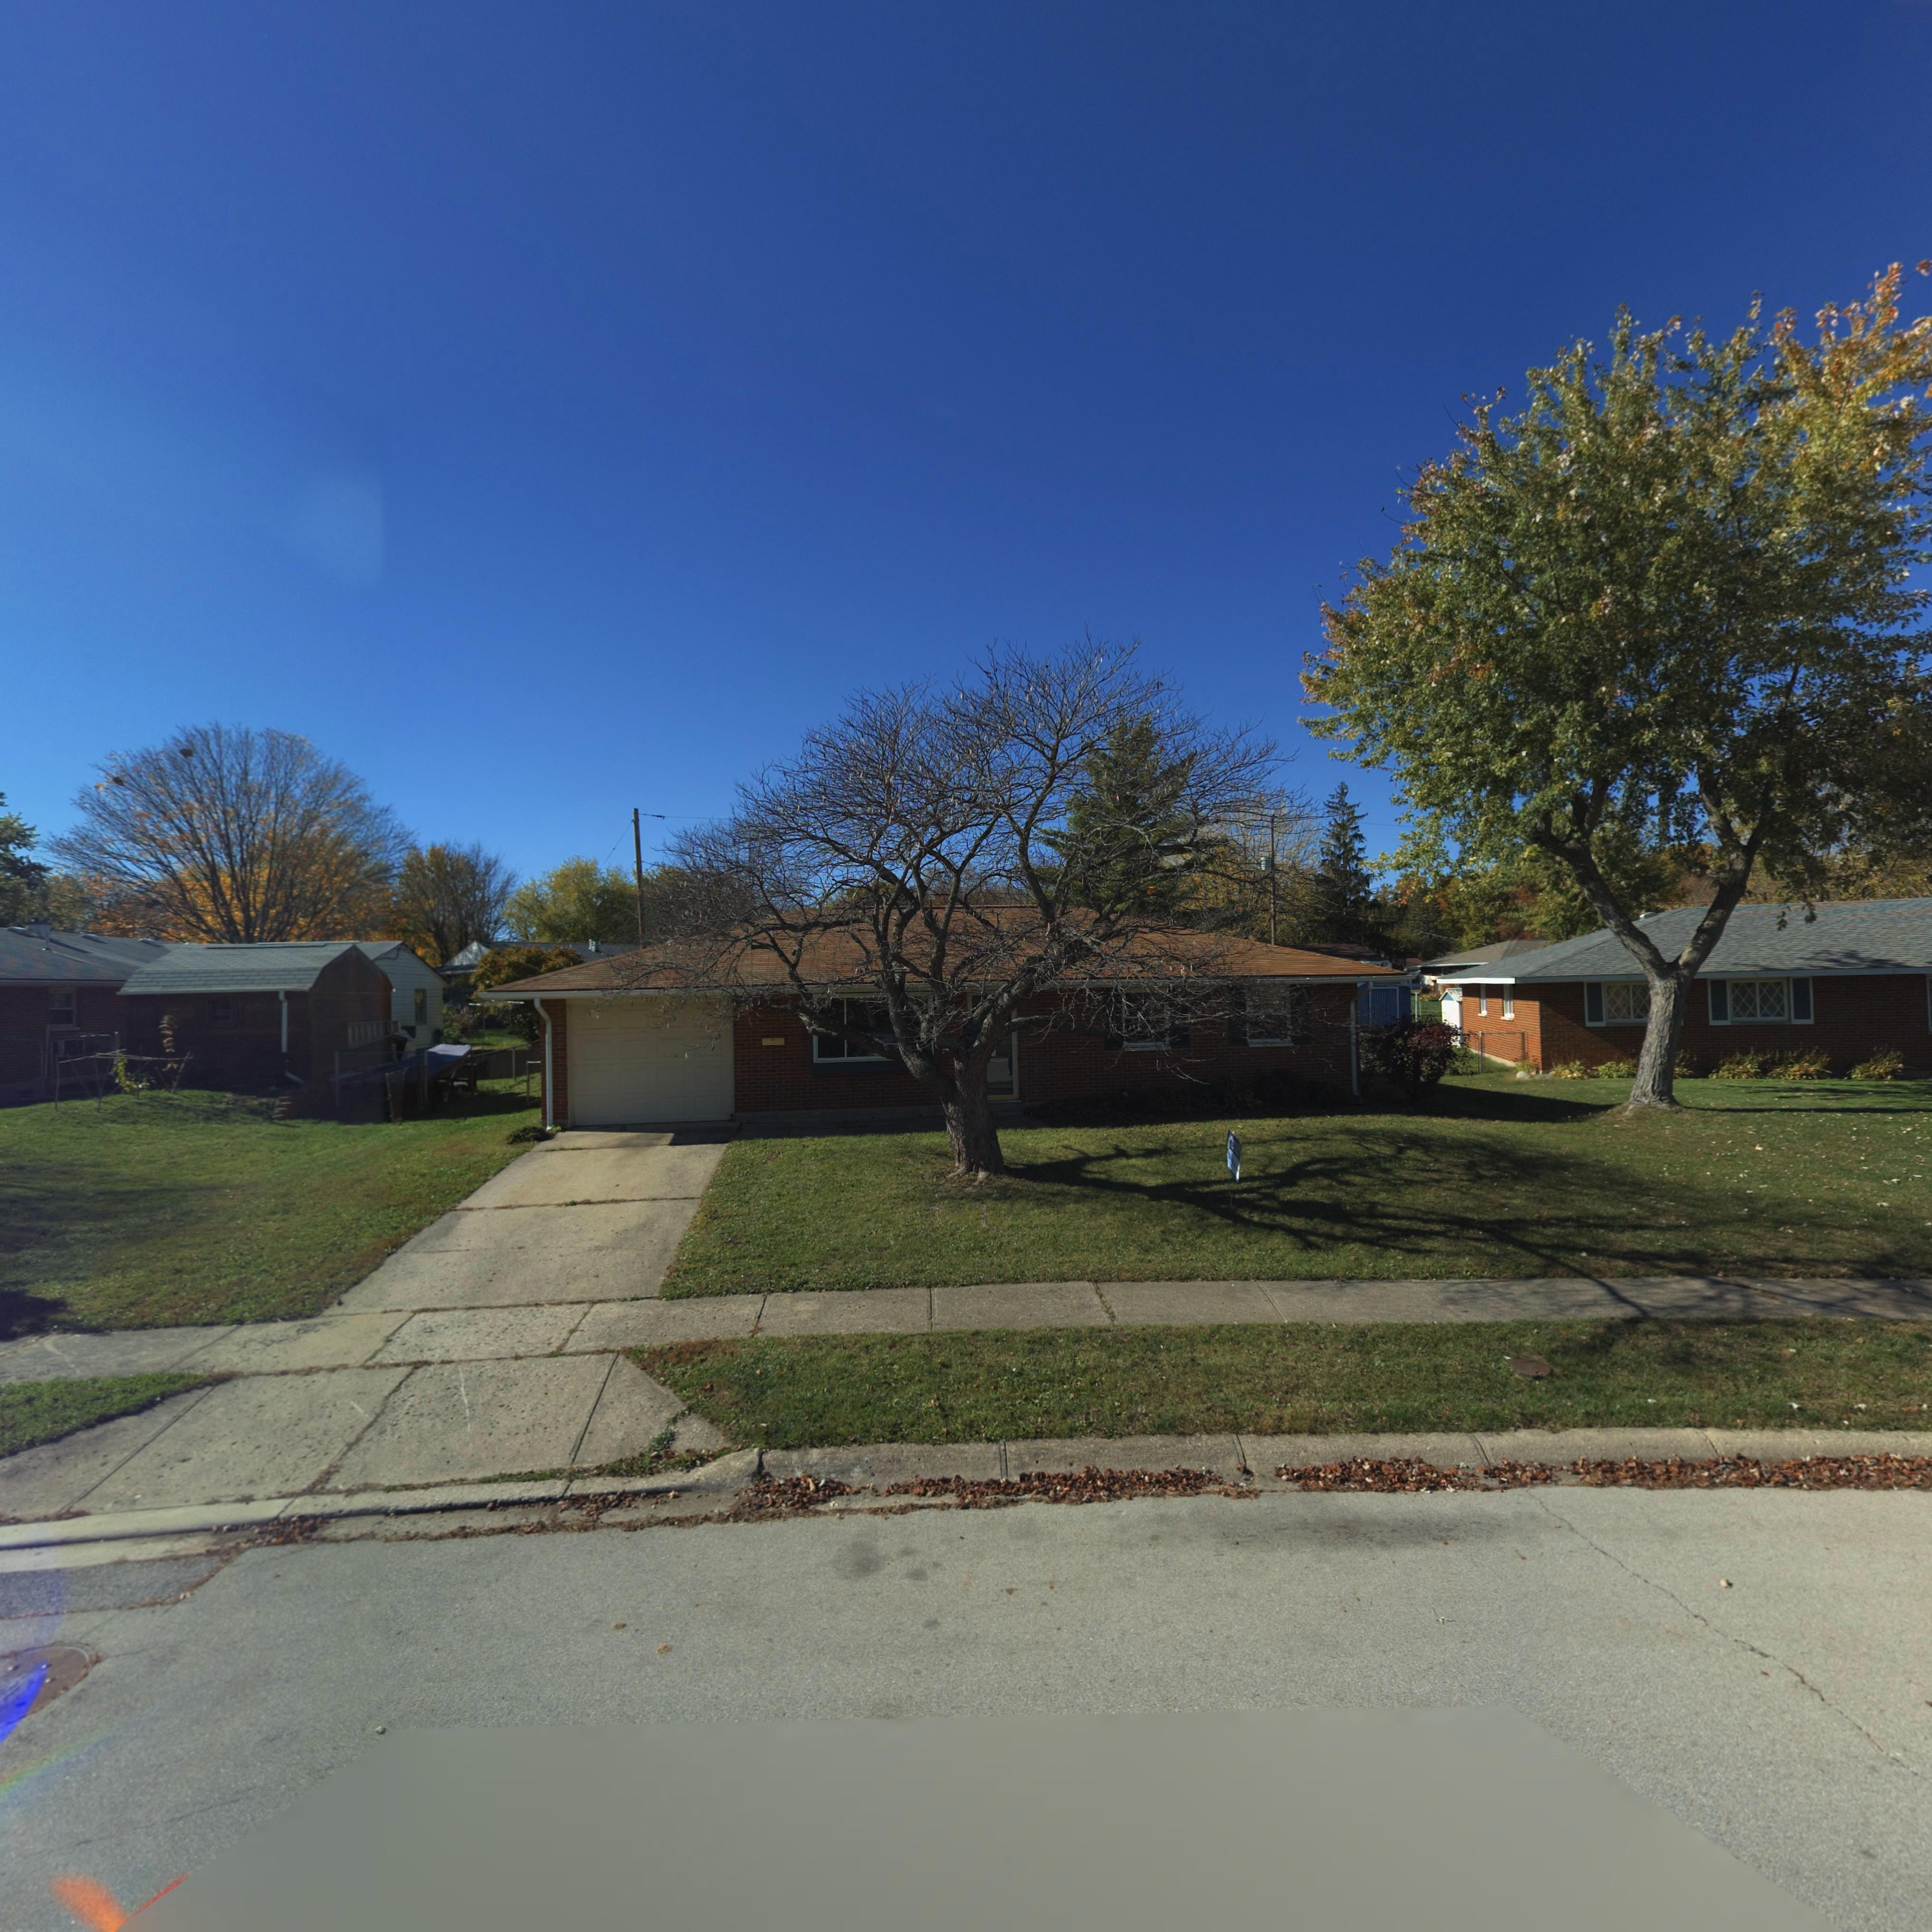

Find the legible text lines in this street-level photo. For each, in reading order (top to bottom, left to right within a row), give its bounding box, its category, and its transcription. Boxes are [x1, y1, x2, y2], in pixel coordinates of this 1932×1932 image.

[644, 995, 659, 1004] StreetNumber: 127